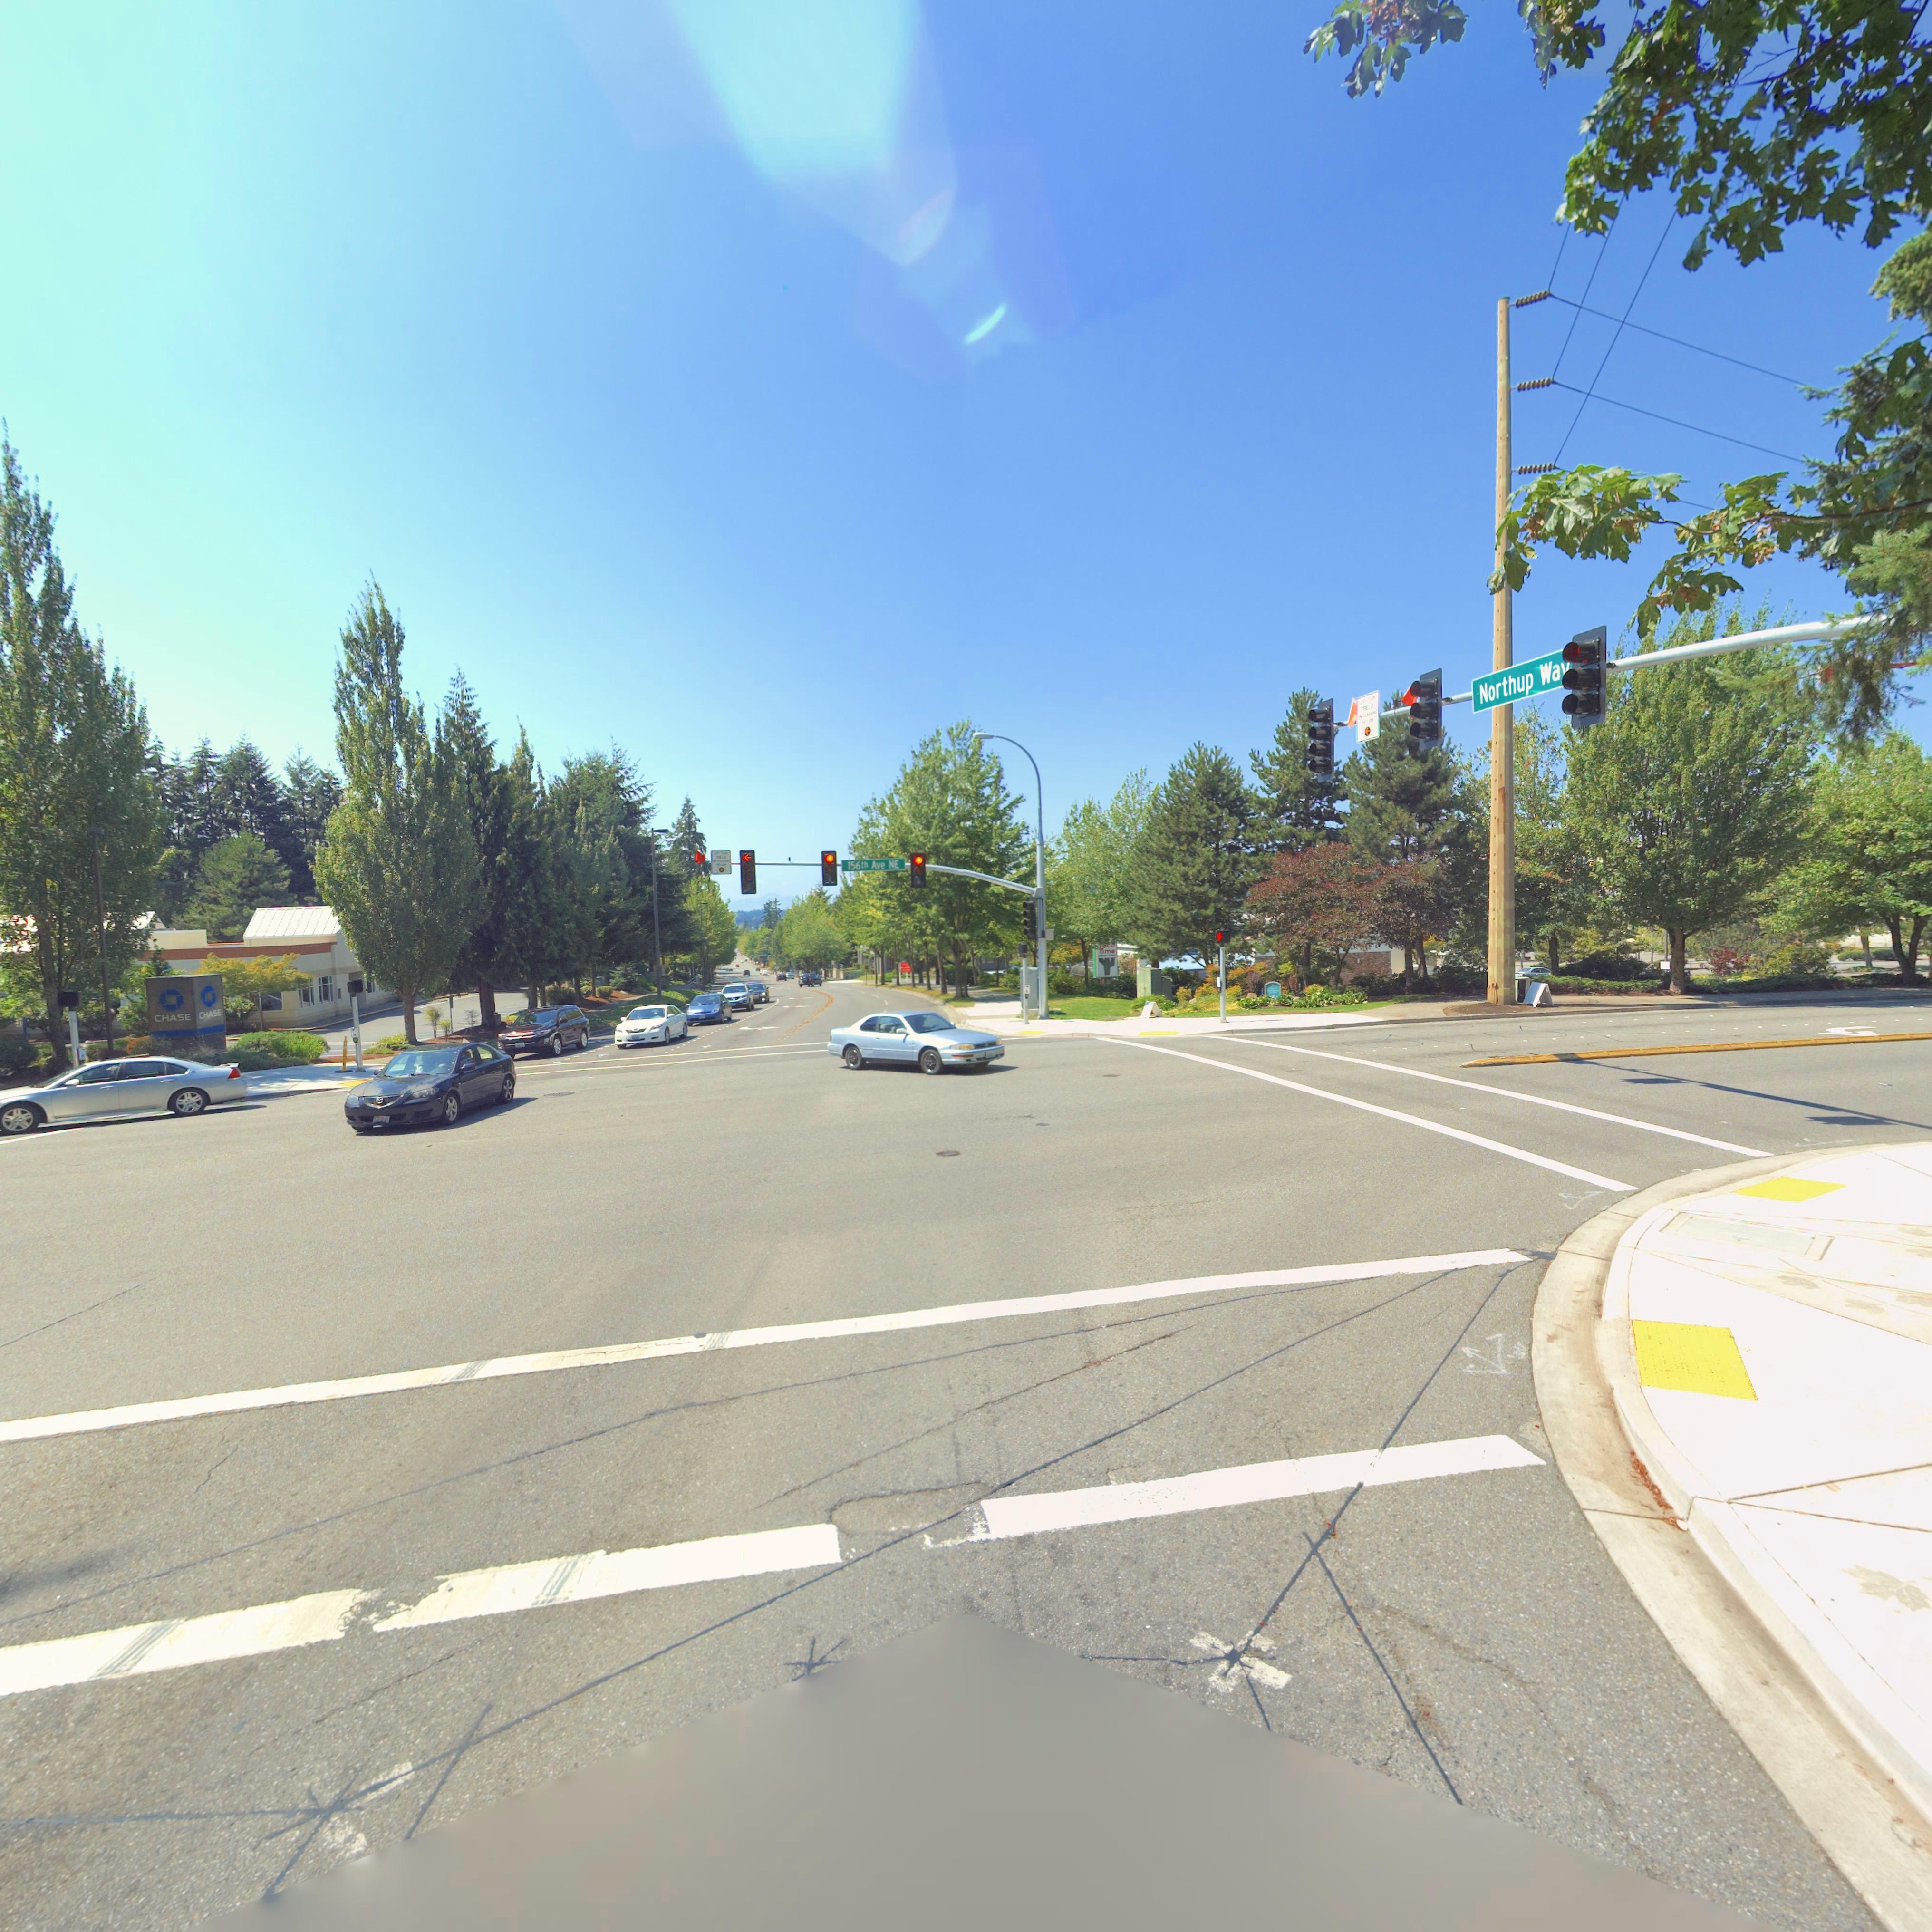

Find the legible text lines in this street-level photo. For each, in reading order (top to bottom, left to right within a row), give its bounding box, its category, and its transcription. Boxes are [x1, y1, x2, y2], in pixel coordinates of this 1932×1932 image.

[1478, 657, 1570, 706] StreetName: Northup Wa*
[847, 859, 900, 870] StreetName: 156th Ave NE
[155, 1014, 191, 1022] BusinessName: CHASE
[198, 1008, 222, 1020] BusinessName: CHASE